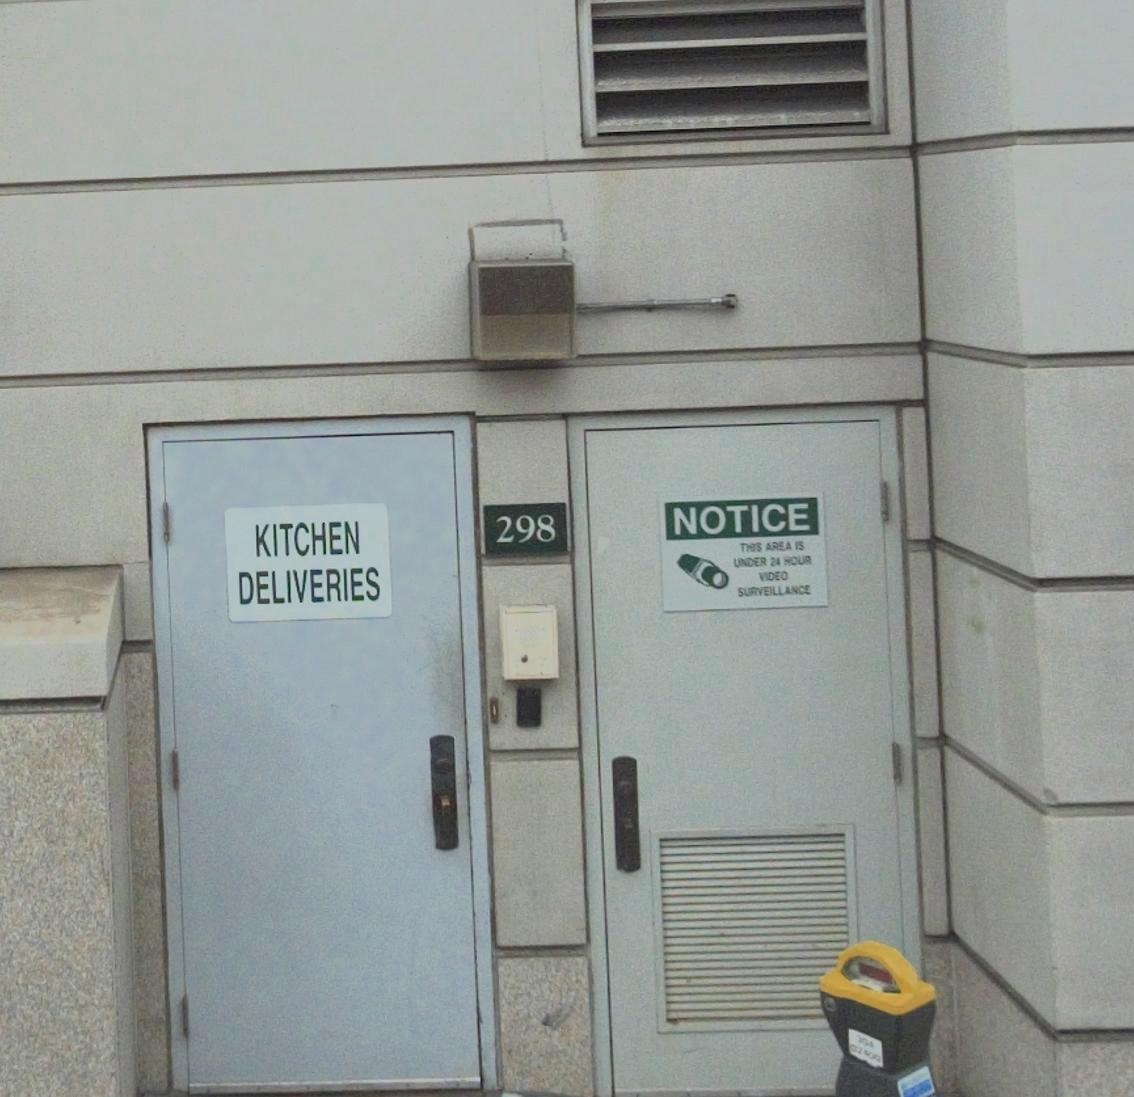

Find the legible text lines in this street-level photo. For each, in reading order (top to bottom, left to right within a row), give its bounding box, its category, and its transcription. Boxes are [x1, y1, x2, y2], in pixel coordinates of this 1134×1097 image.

[254, 520, 361, 559] None: KITCHEN
[237, 566, 381, 607] None: DELIVERIES
[495, 512, 557, 545] StreetNumber: 298
[672, 500, 811, 537] None: NOTICE
[738, 539, 805, 554] None: THIS AREA IS
[731, 552, 813, 570] None: UNDER 24 HOUR
[756, 569, 789, 584] None: VIDEO
[736, 583, 812, 600] None: SURVELLANCE